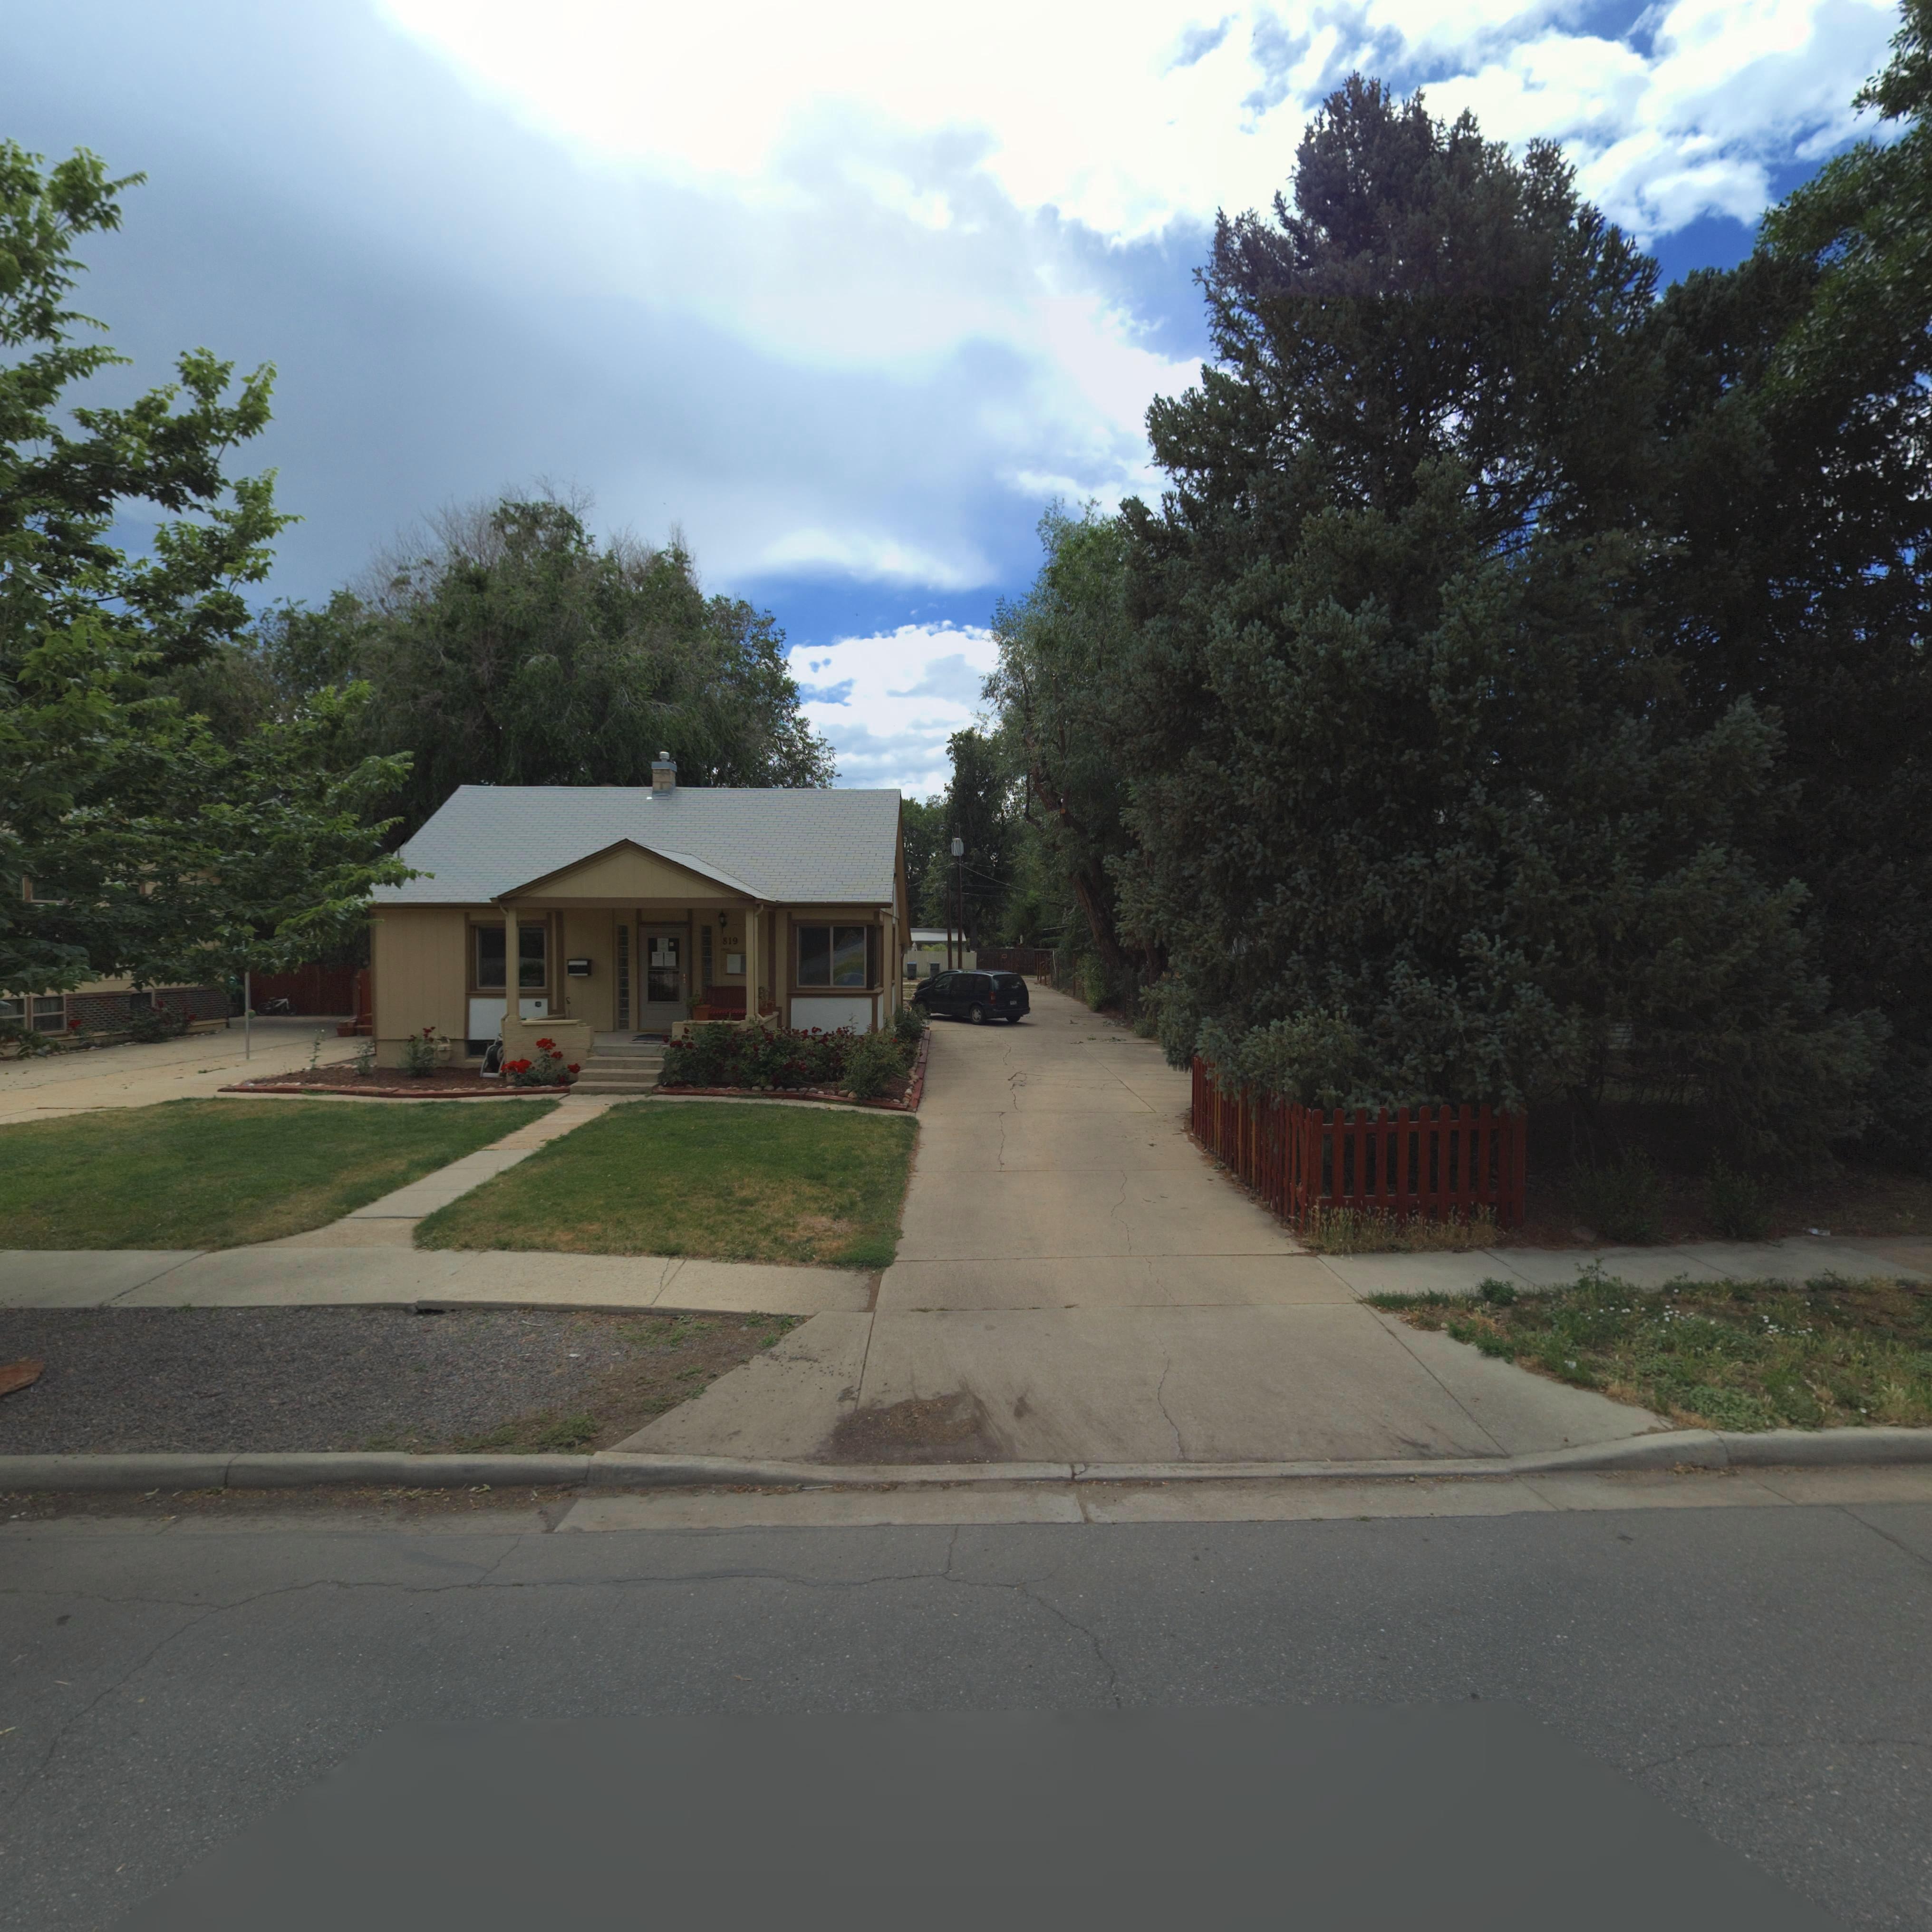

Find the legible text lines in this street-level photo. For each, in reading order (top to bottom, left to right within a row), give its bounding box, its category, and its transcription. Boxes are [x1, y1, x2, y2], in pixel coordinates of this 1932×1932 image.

[722, 936, 738, 945] StreetNumber: 819